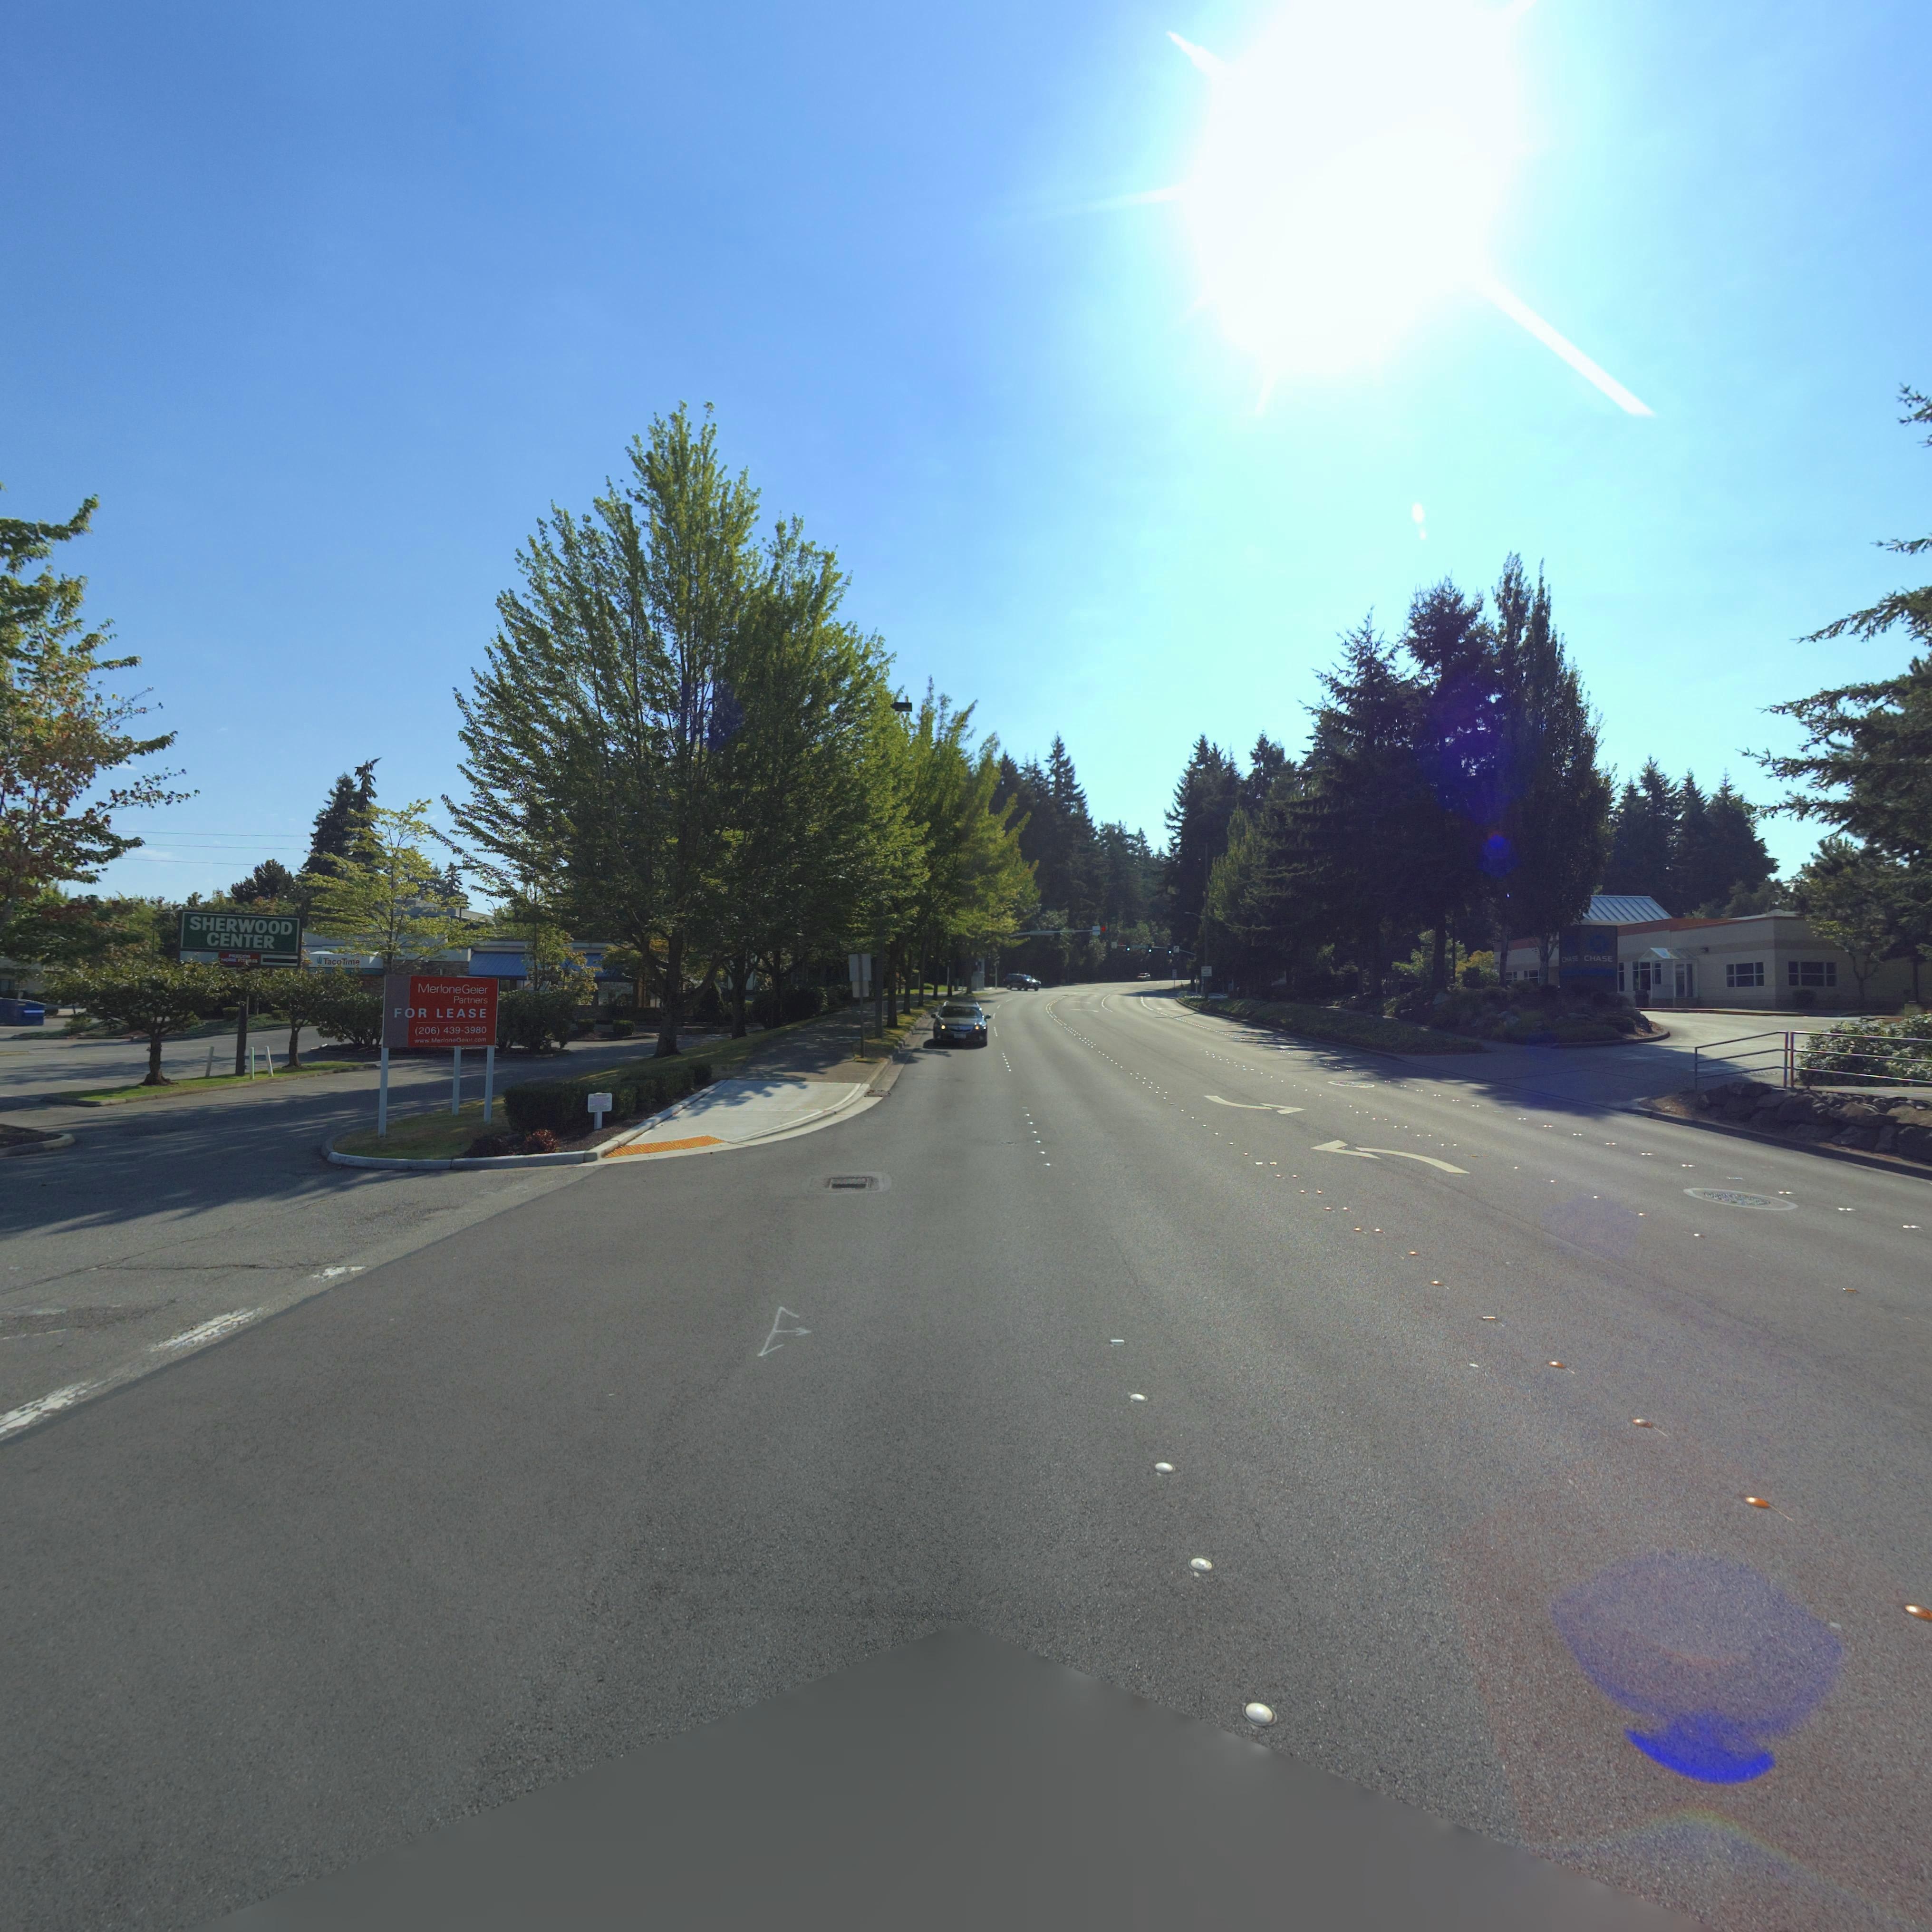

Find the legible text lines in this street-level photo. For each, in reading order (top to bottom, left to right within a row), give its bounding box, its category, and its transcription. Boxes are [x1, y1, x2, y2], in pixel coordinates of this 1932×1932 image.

[190, 916, 292, 935] BusinessName: Taco Time
[322, 957, 360, 966] BusinessName: Taco Tim*
[1562, 955, 1578, 963] BusinessName: CHASE
[1583, 955, 1613, 962] BusinessName: CHASE